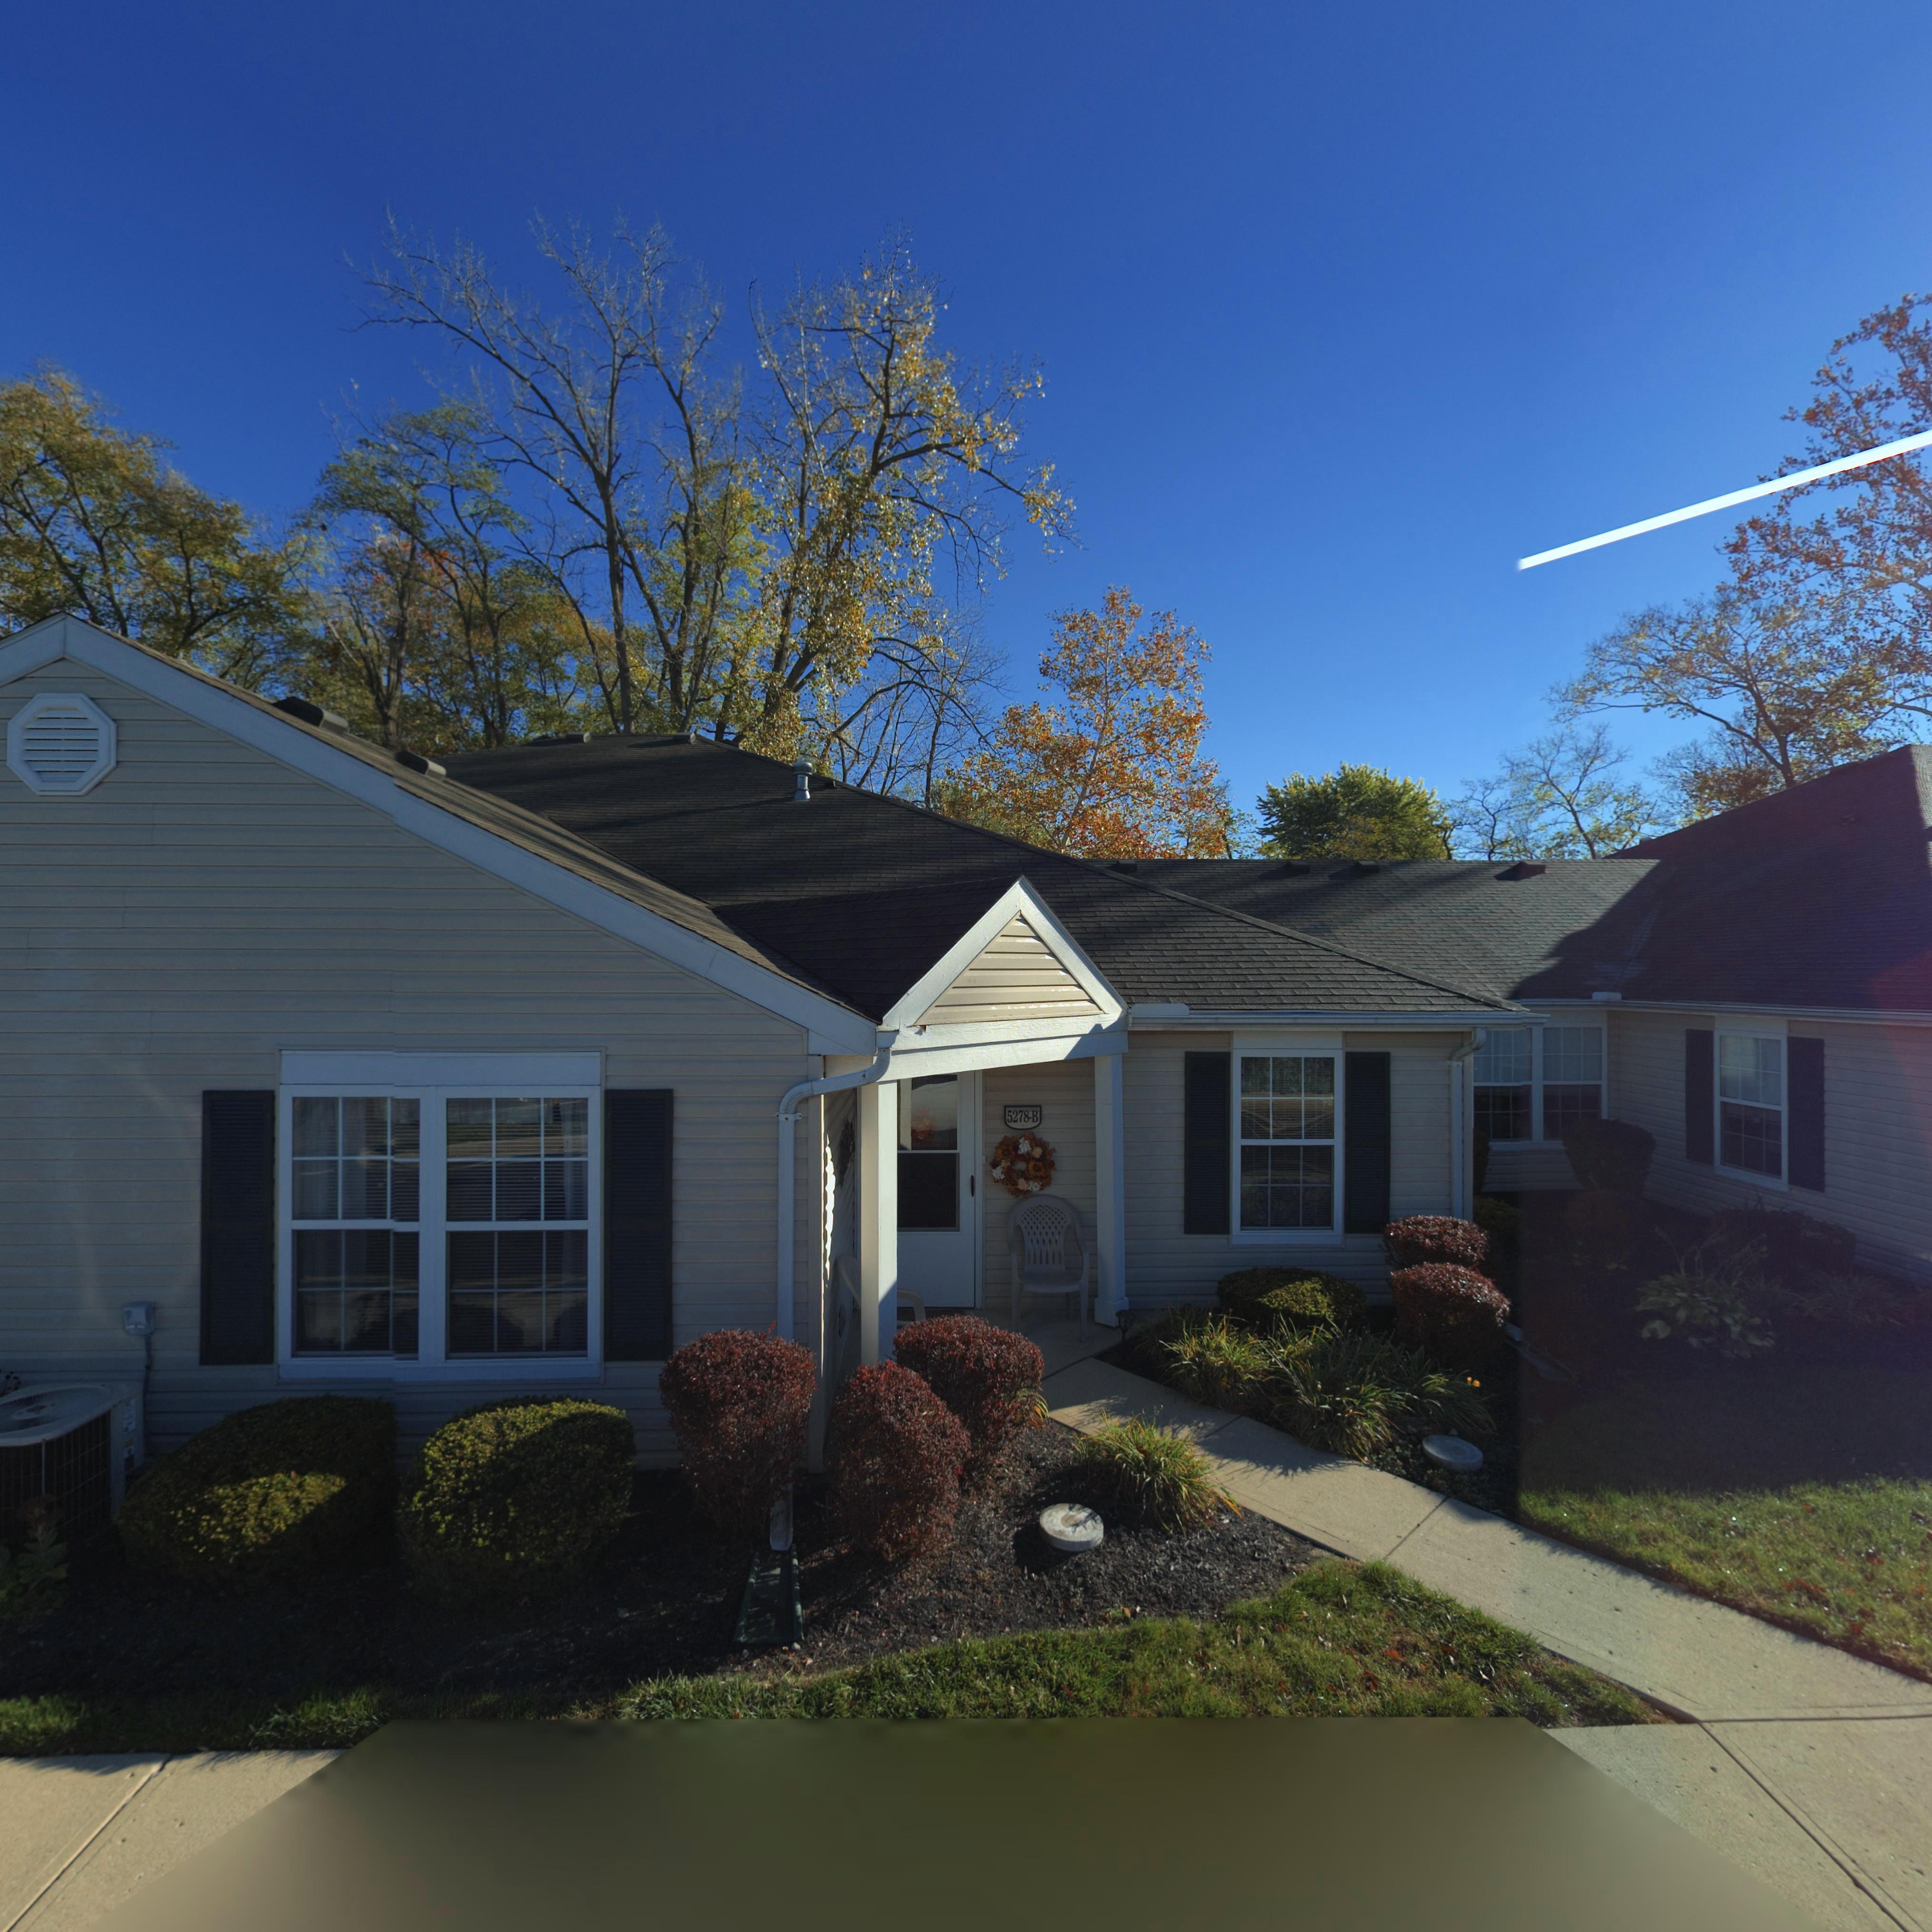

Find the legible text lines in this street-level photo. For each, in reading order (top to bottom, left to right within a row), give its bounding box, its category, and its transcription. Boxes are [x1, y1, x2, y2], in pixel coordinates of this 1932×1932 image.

[1006, 1109, 1039, 1123] StreetNumber: 5278-B